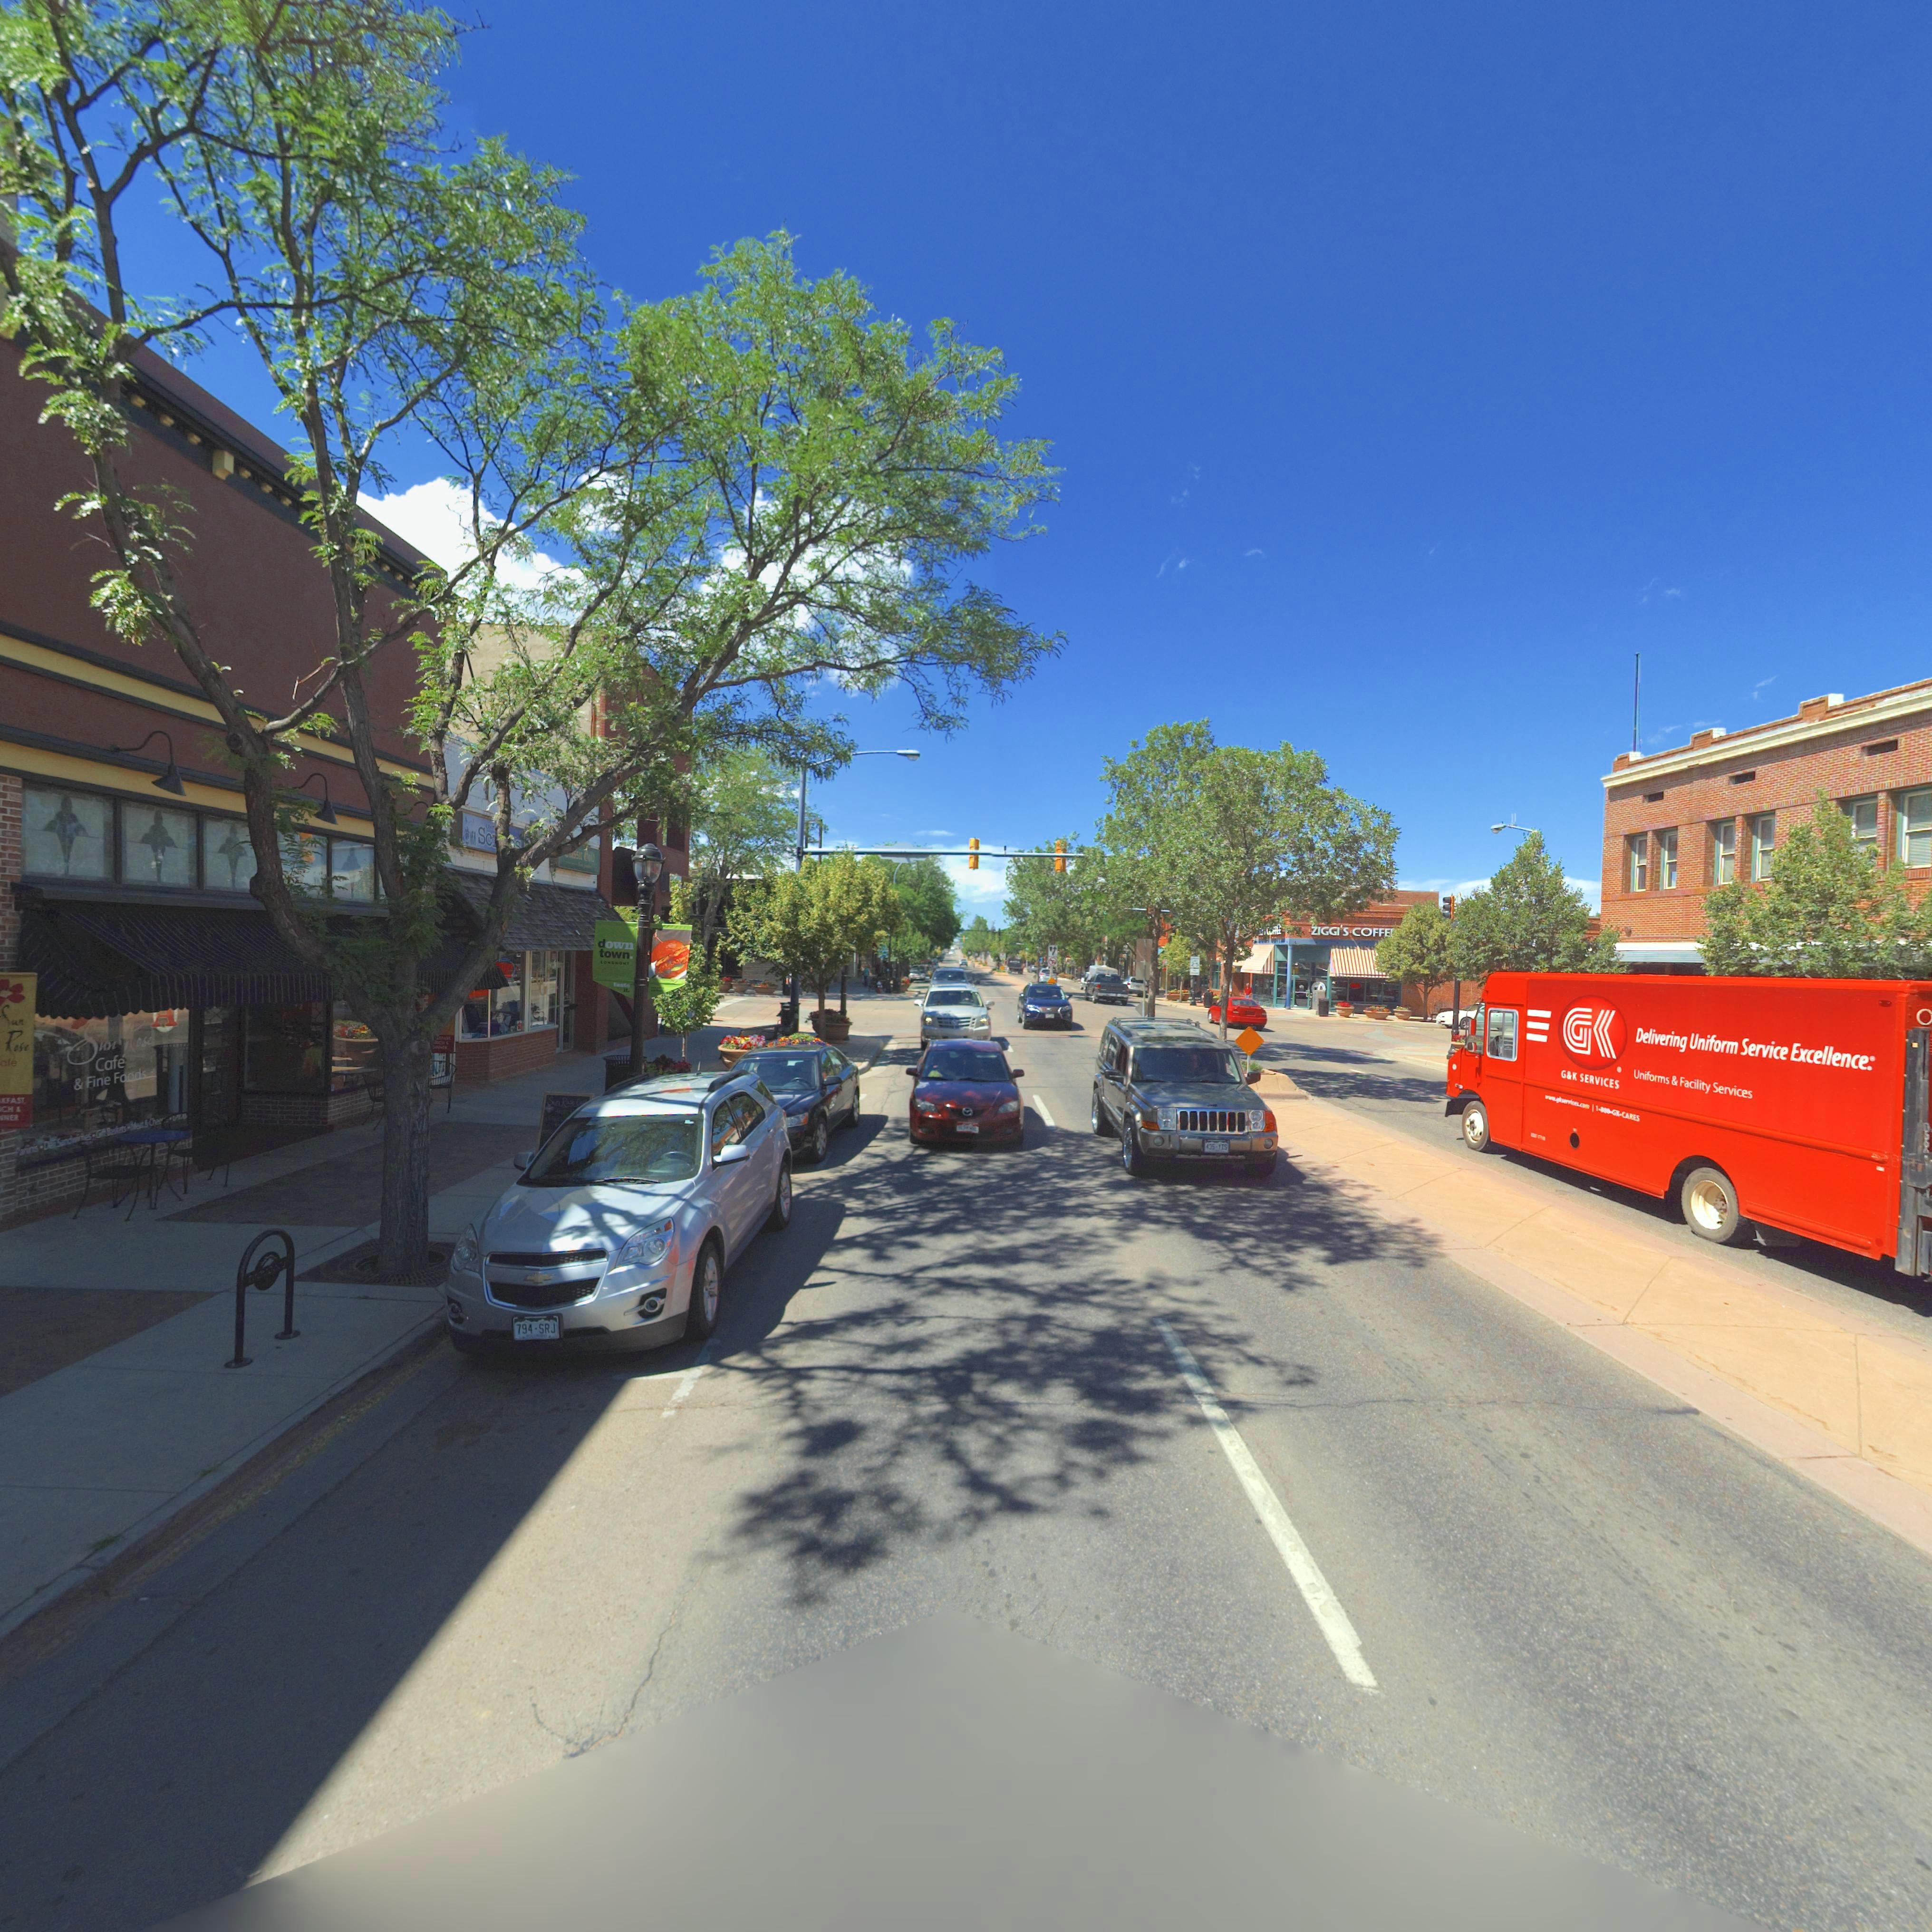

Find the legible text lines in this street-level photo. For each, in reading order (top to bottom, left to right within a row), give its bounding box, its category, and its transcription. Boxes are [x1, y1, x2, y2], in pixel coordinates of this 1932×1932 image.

[485, 823, 495, 831] BusinessName: Uni
[477, 826, 493, 847] BusinessName: Sc
[564, 849, 595, 863] BusinessName: ***ssic Gold
[1266, 923, 1282, 935] BusinessName: CO*FEE
[1310, 924, 1391, 937] BusinessName: ZIGGI'S COFFEE
[0, 1004, 24, 1033] BusinessName: Sun
[4, 1029, 30, 1052] BusinessName: Rose
[66, 1016, 152, 1065] BusinessName: Sun Rose
[0, 1057, 18, 1067] BusinessName: afe
[95, 1054, 125, 1072] BusinessName: Cafe
[547, 1096, 586, 1108] BusinessName: Sun Rose Ca